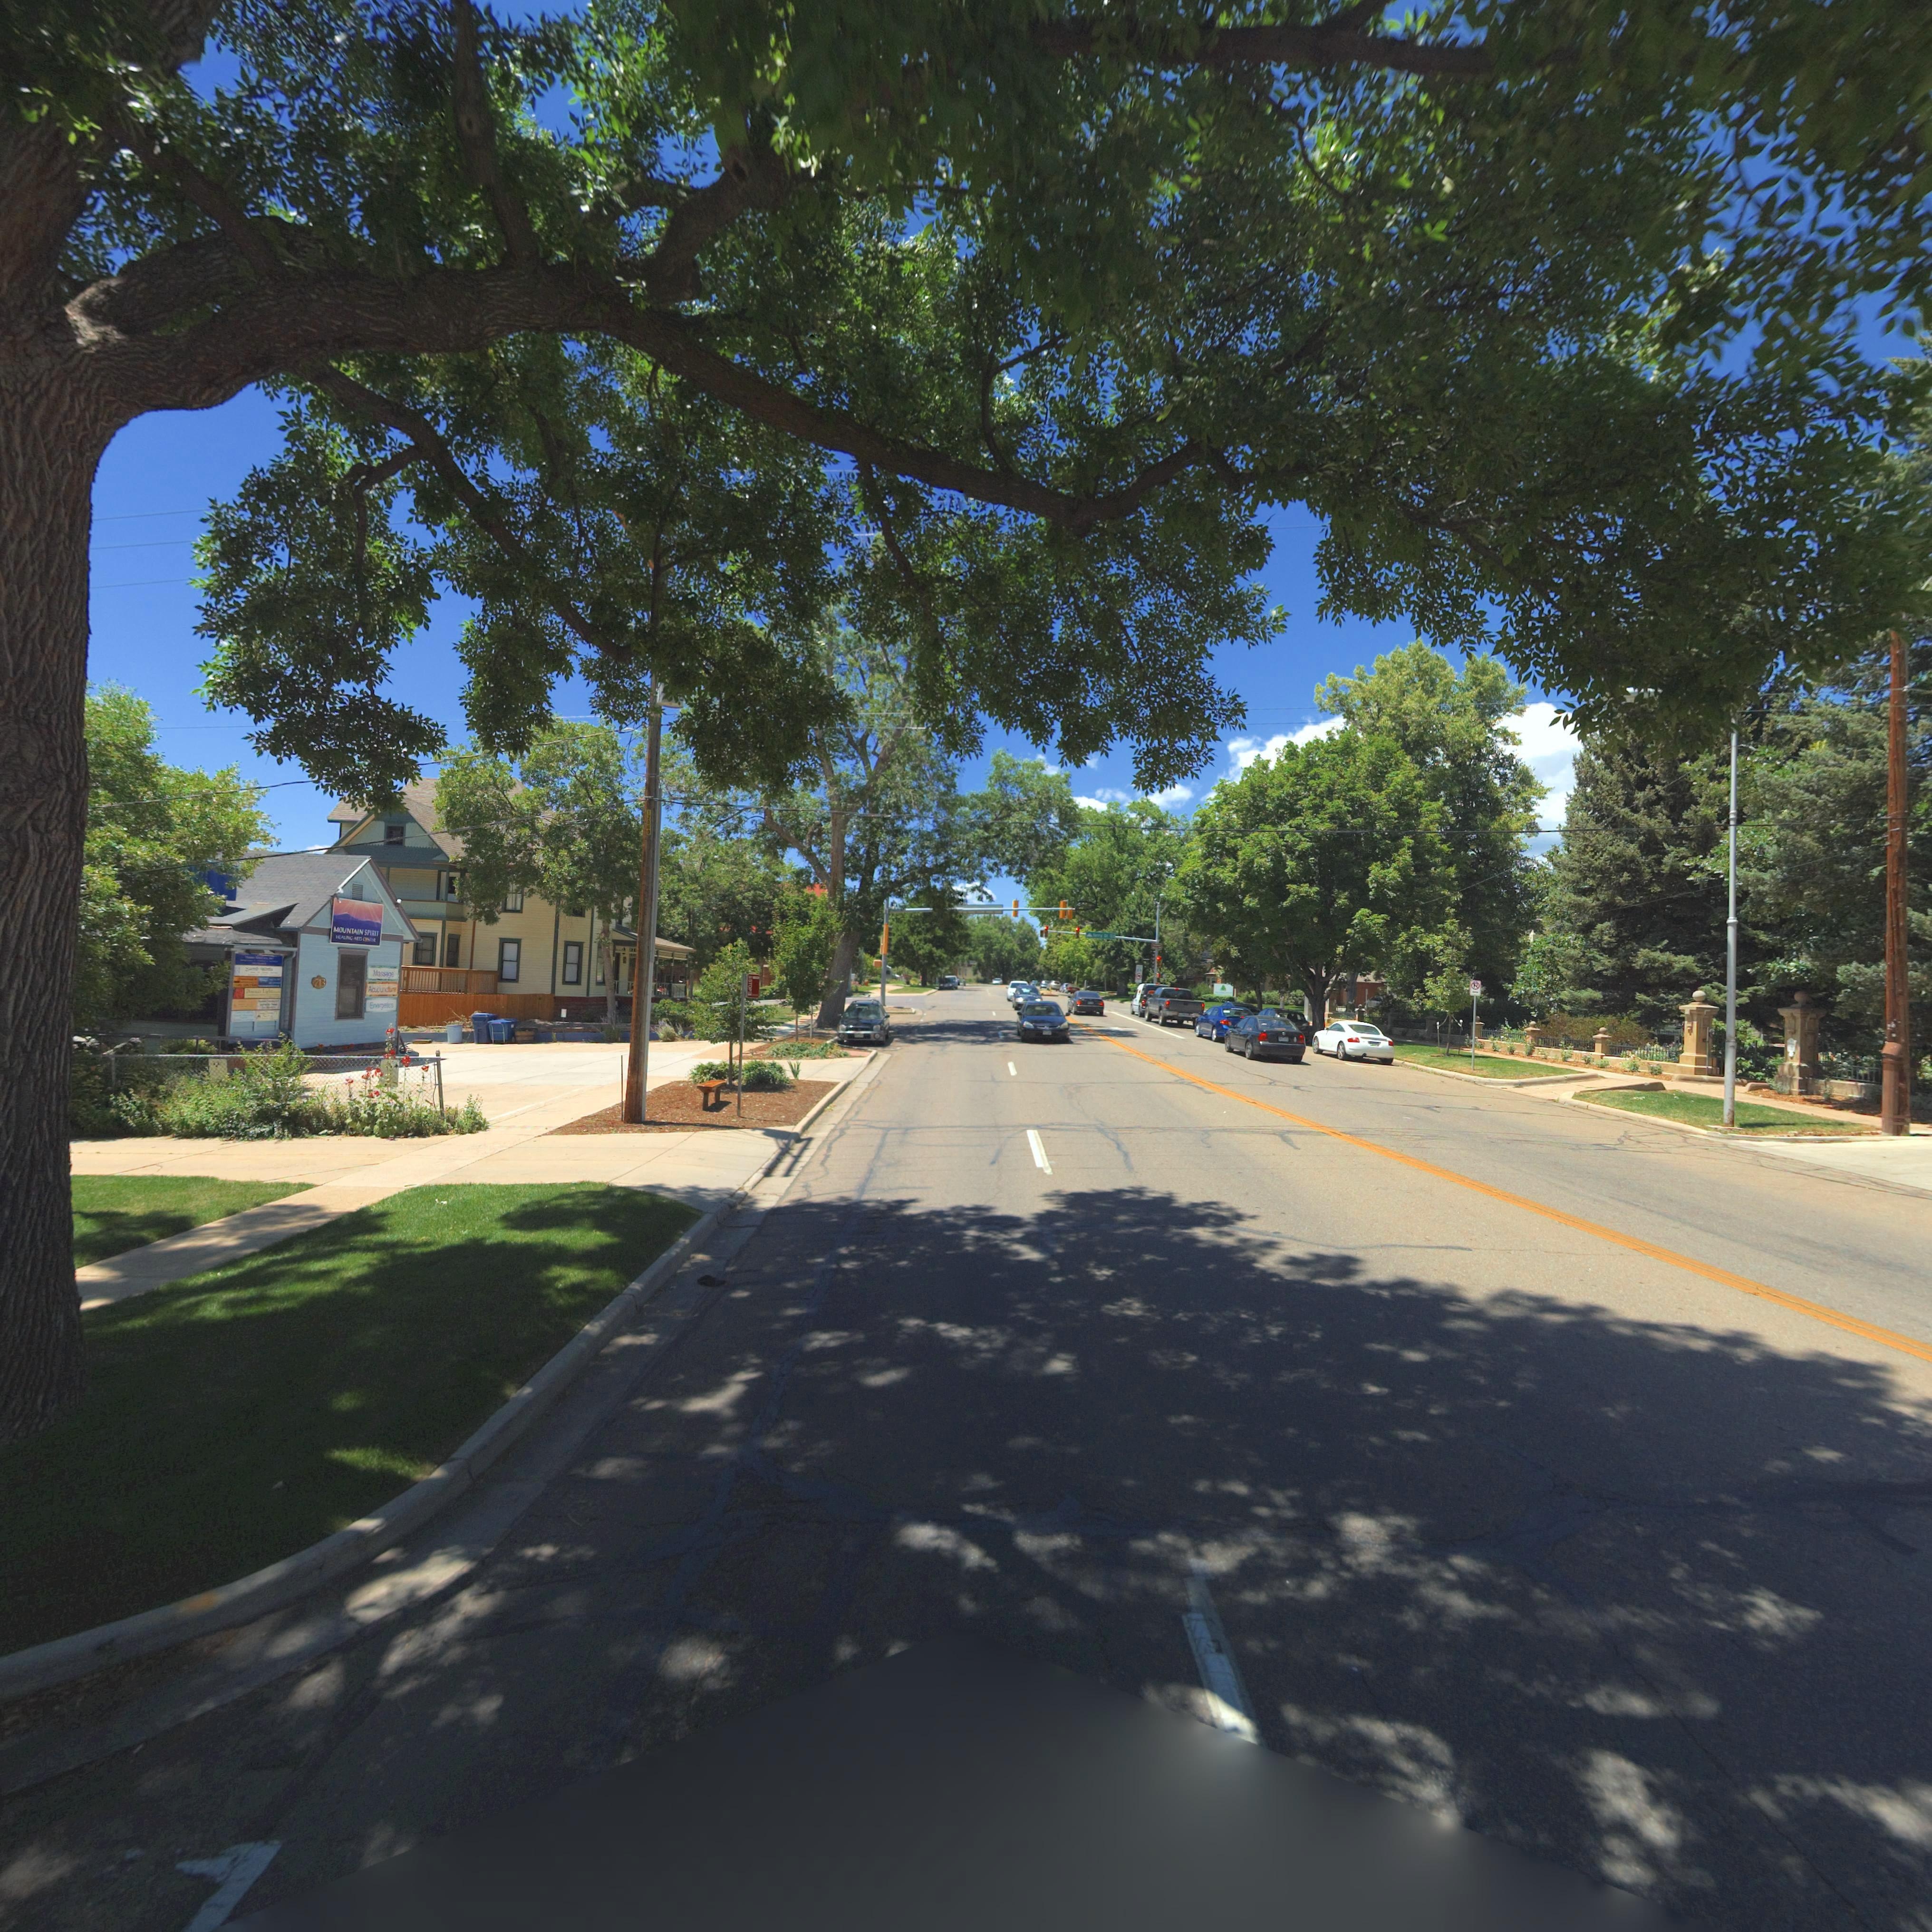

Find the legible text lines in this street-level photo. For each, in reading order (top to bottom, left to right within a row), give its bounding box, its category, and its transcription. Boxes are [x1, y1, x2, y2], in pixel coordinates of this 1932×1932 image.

[335, 934, 376, 942] BusinessName: HEALING ARTS CENTER
[333, 926, 379, 937] BusinessName: MOUNTAIN SPIRIT
[1092, 933, 1108, 937] StreetName: Terry St
[314, 978, 325, 987] StreetNumber: 713